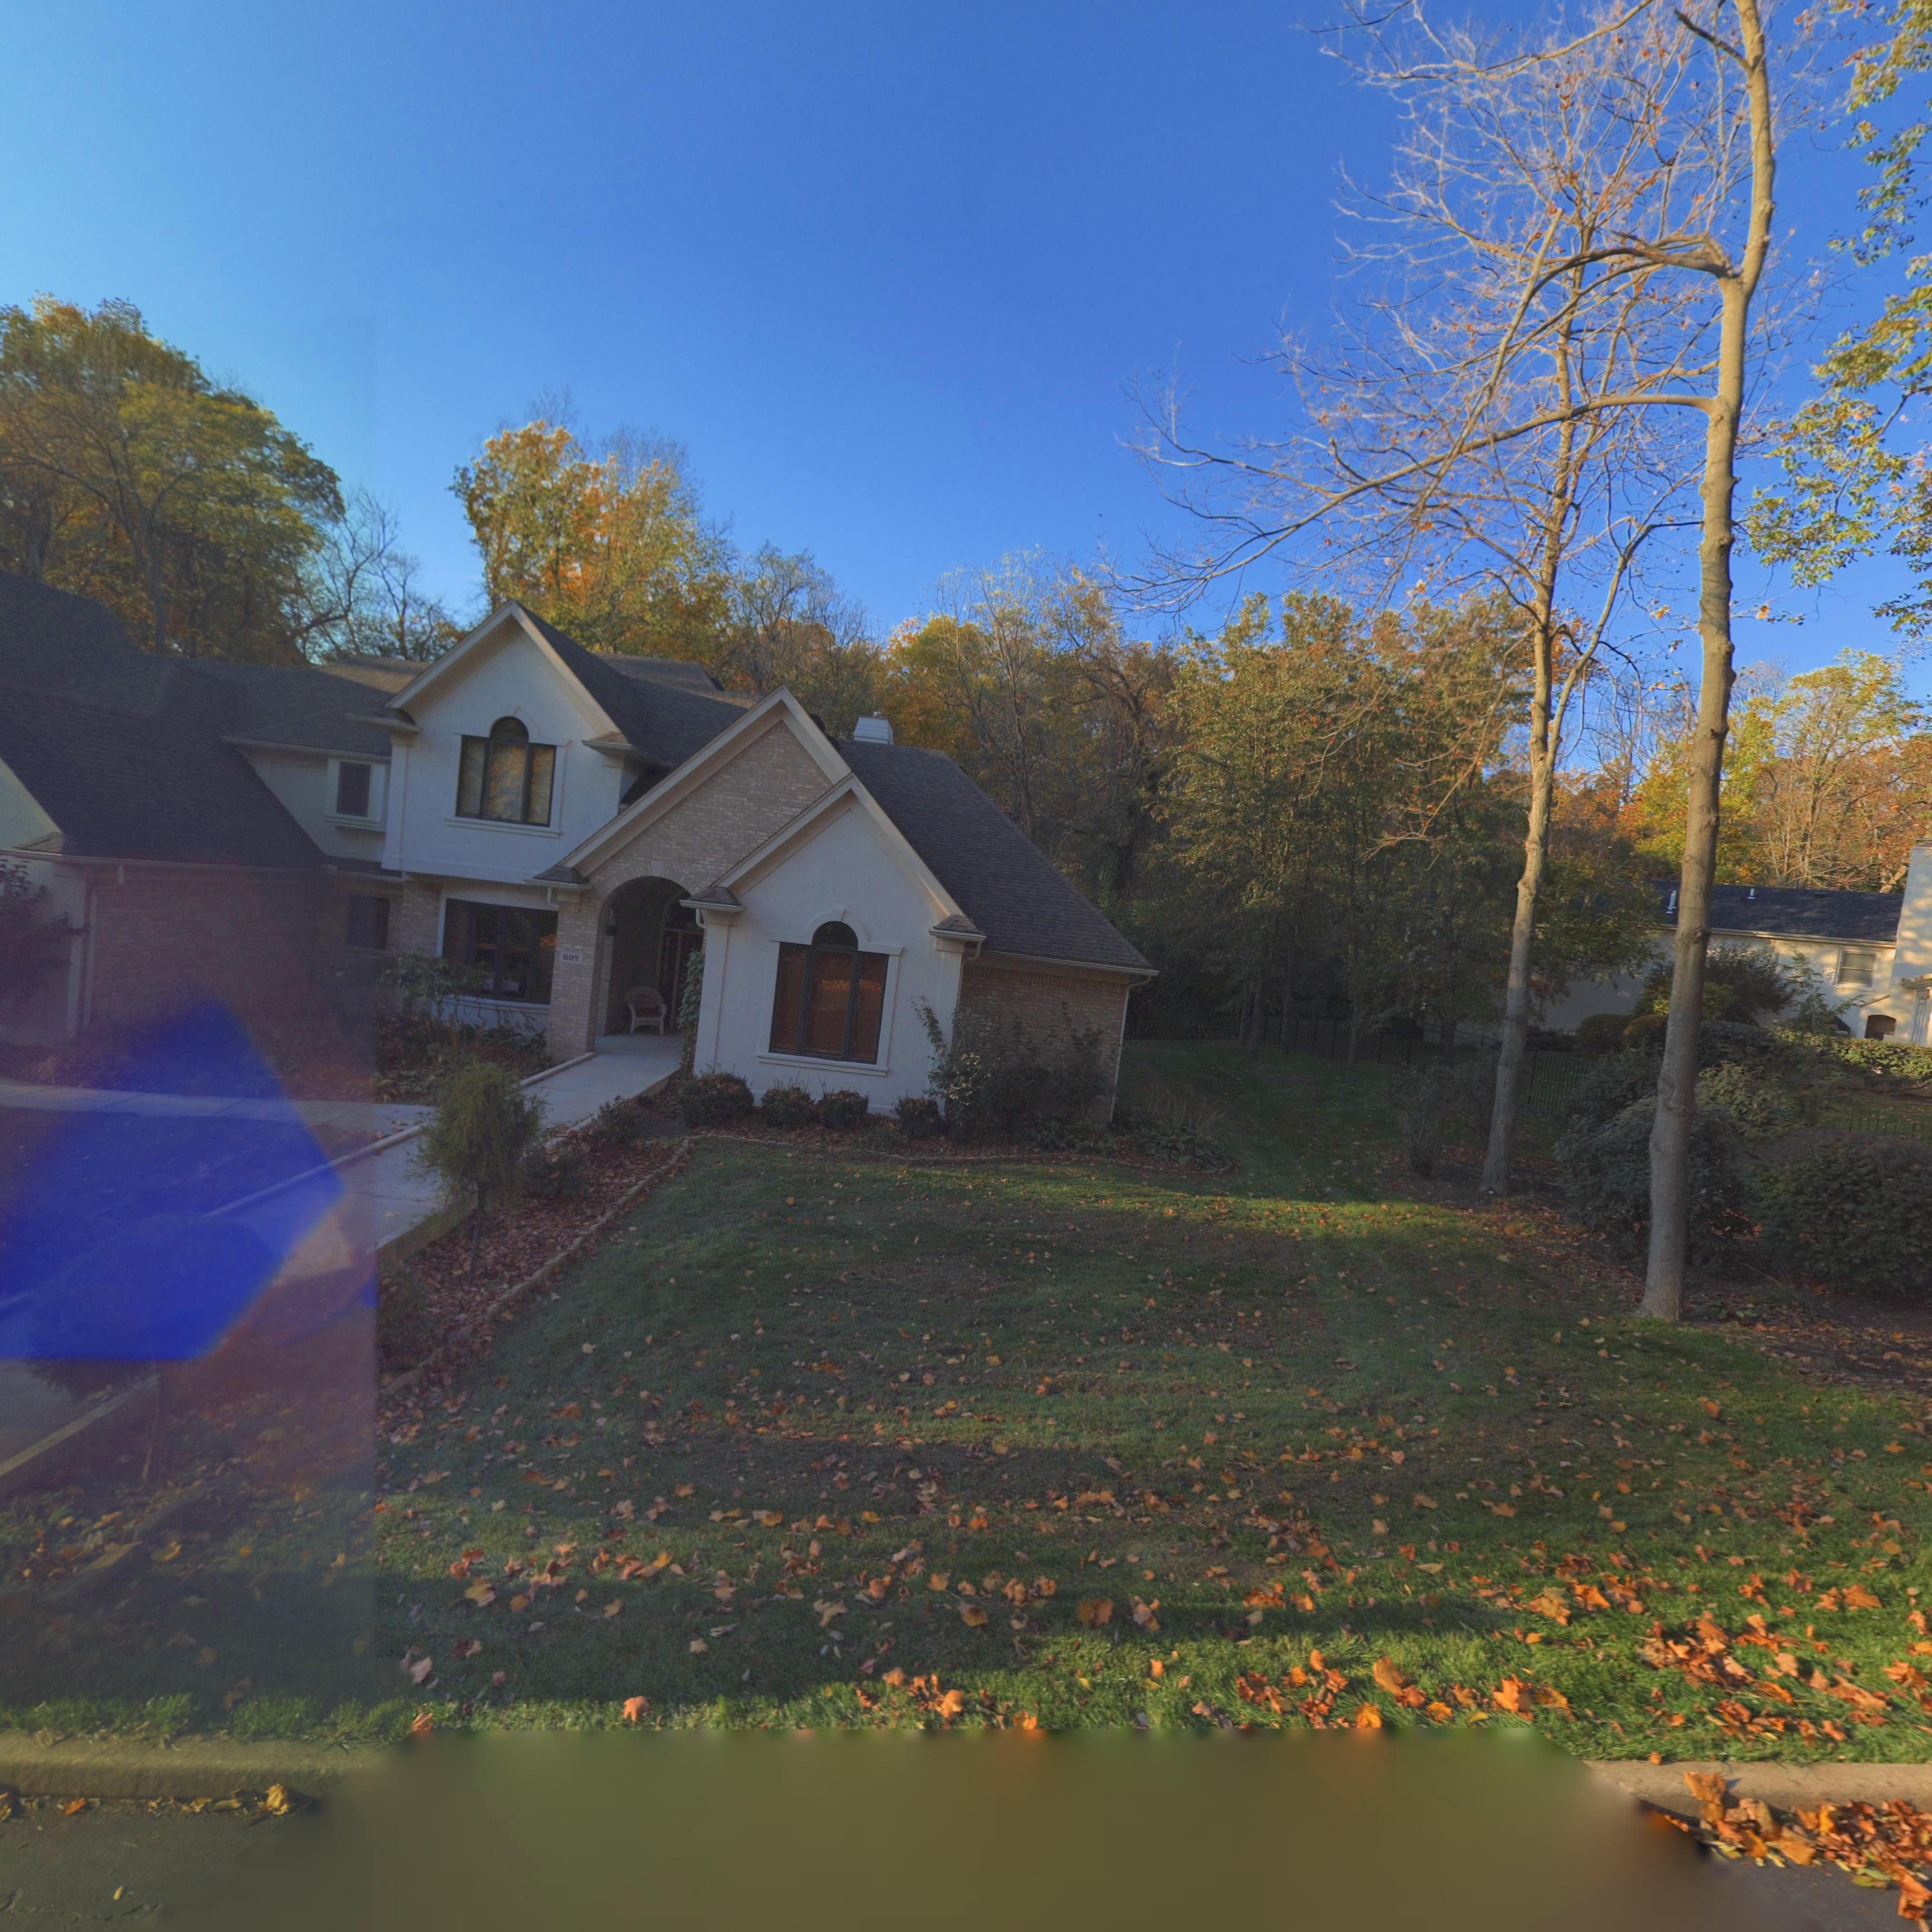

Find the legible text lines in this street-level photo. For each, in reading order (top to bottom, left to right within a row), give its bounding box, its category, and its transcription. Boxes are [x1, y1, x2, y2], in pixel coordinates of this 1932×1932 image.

[562, 953, 581, 962] StreetNumber: 607